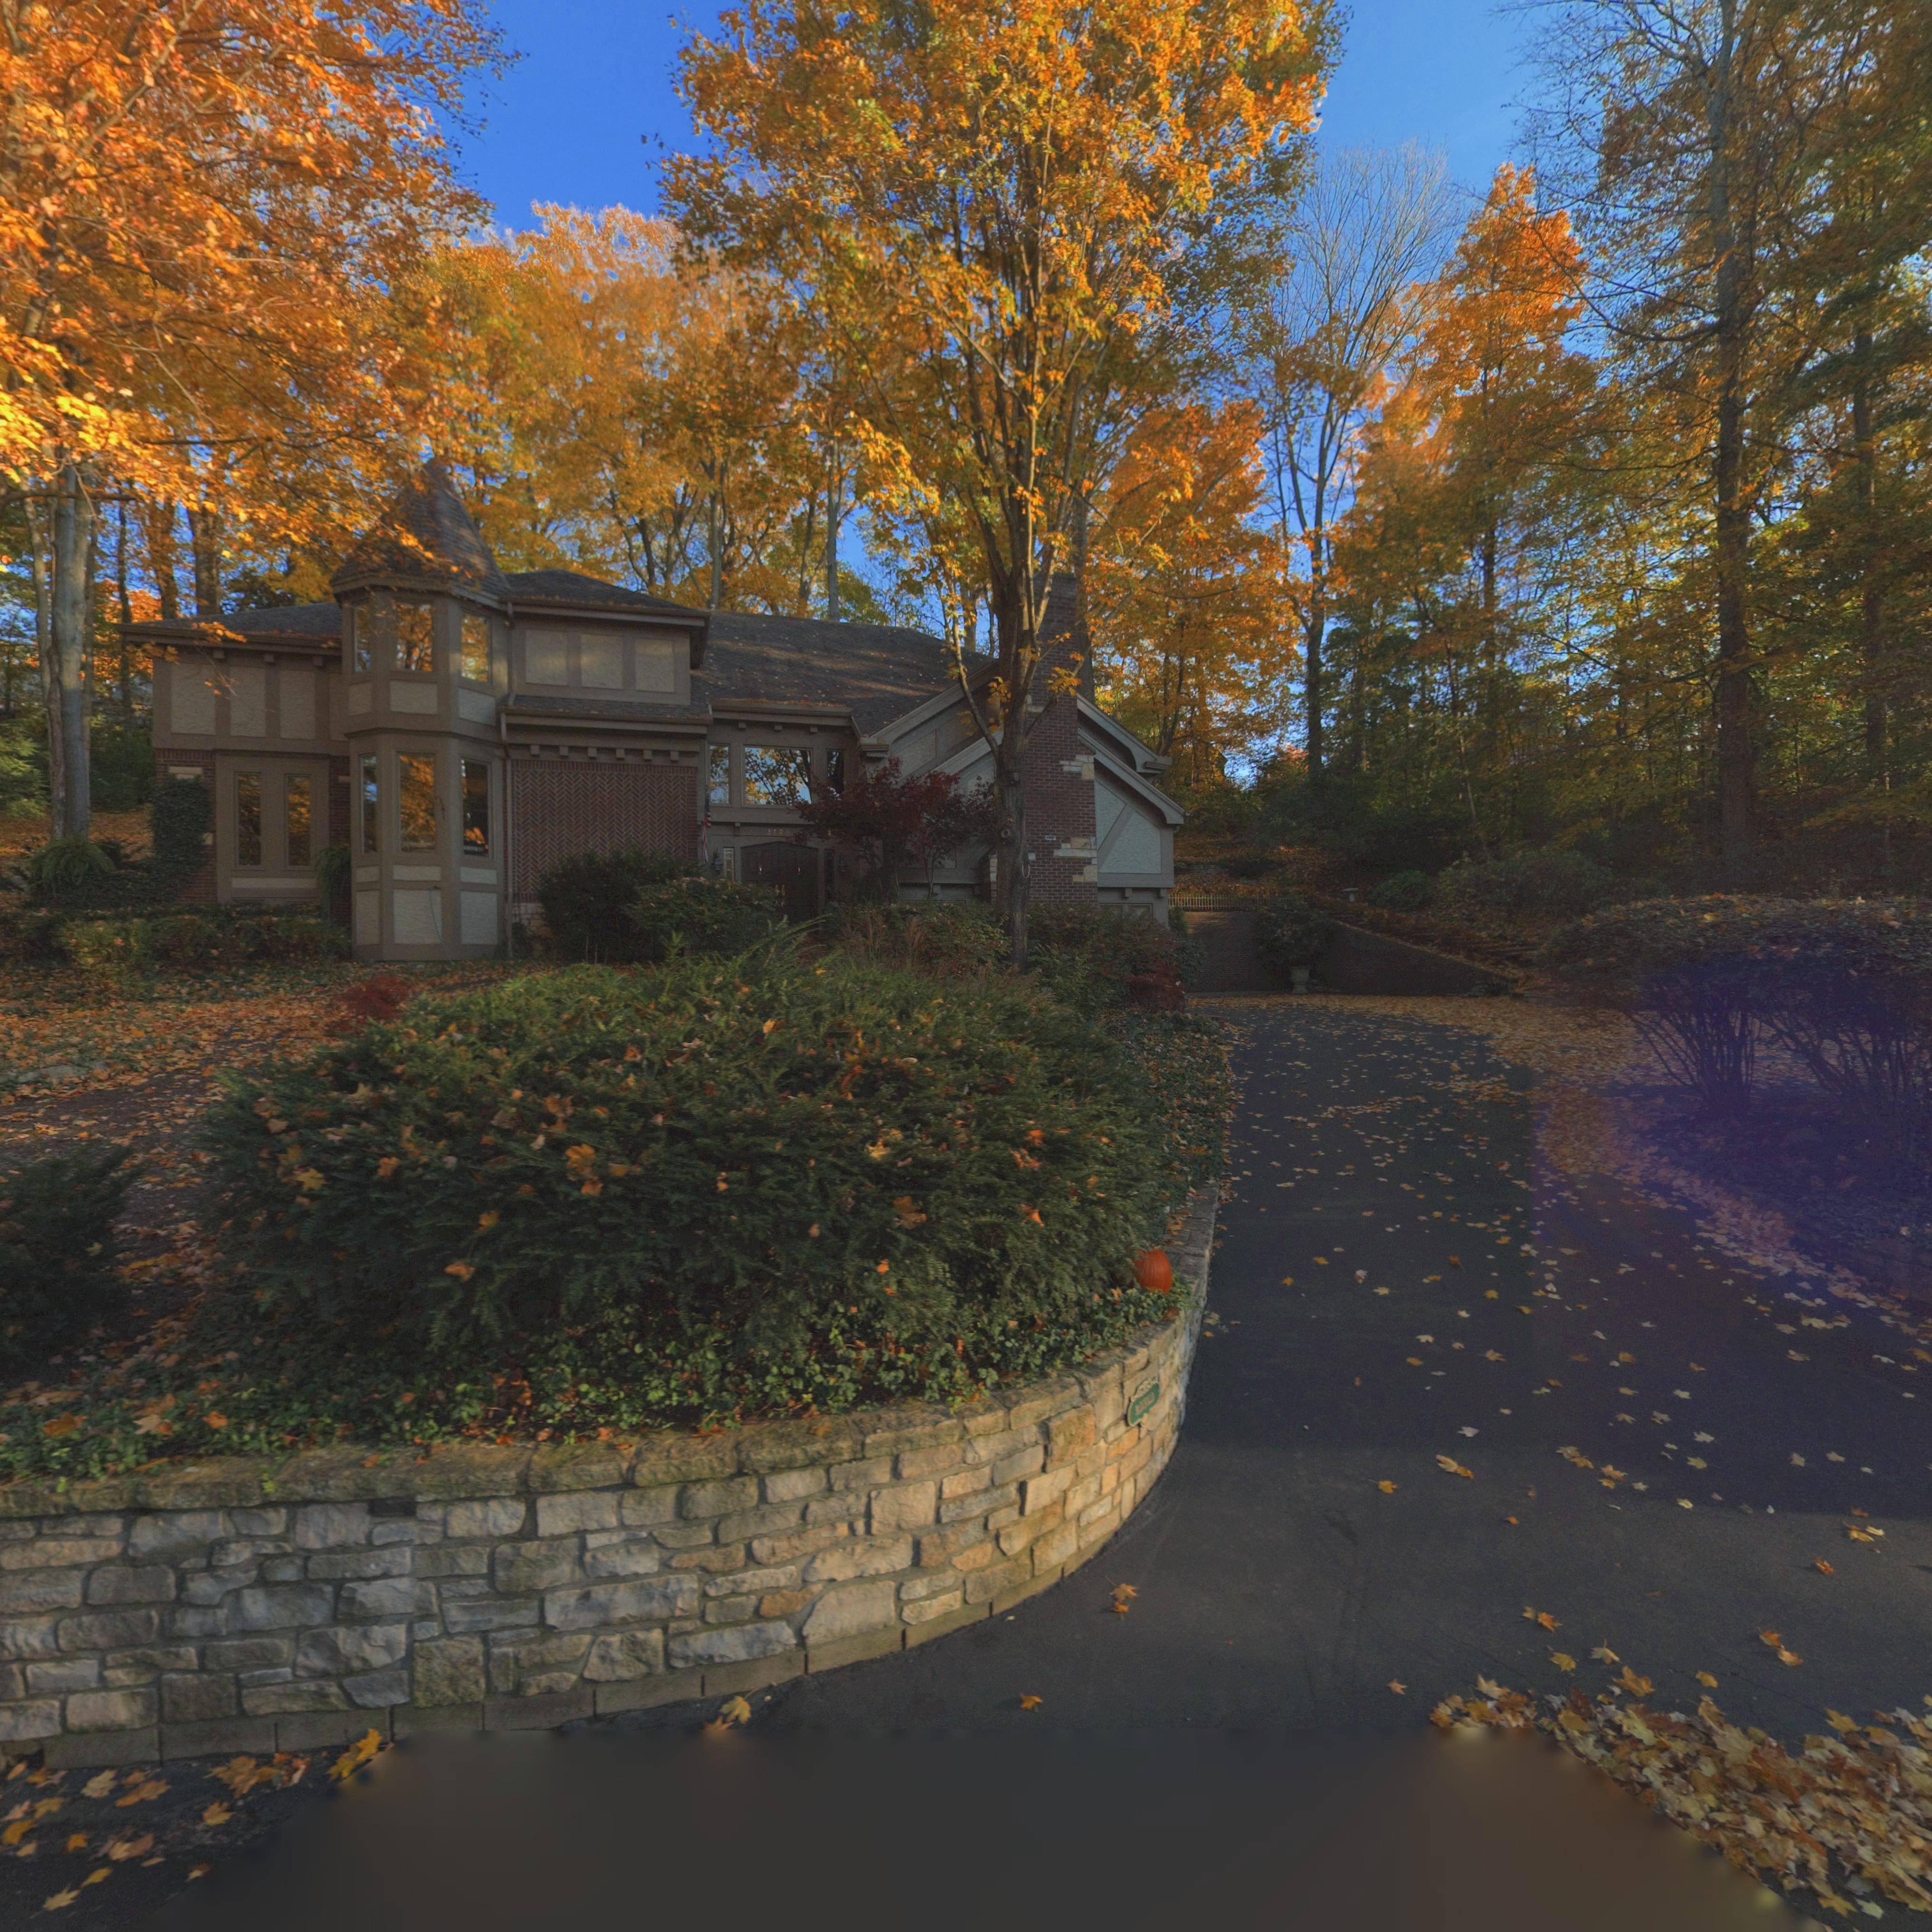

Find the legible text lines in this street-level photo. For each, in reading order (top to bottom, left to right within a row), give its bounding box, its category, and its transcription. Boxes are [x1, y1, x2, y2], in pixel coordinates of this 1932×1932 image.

[767, 828, 790, 835] StreetNumber: 3706